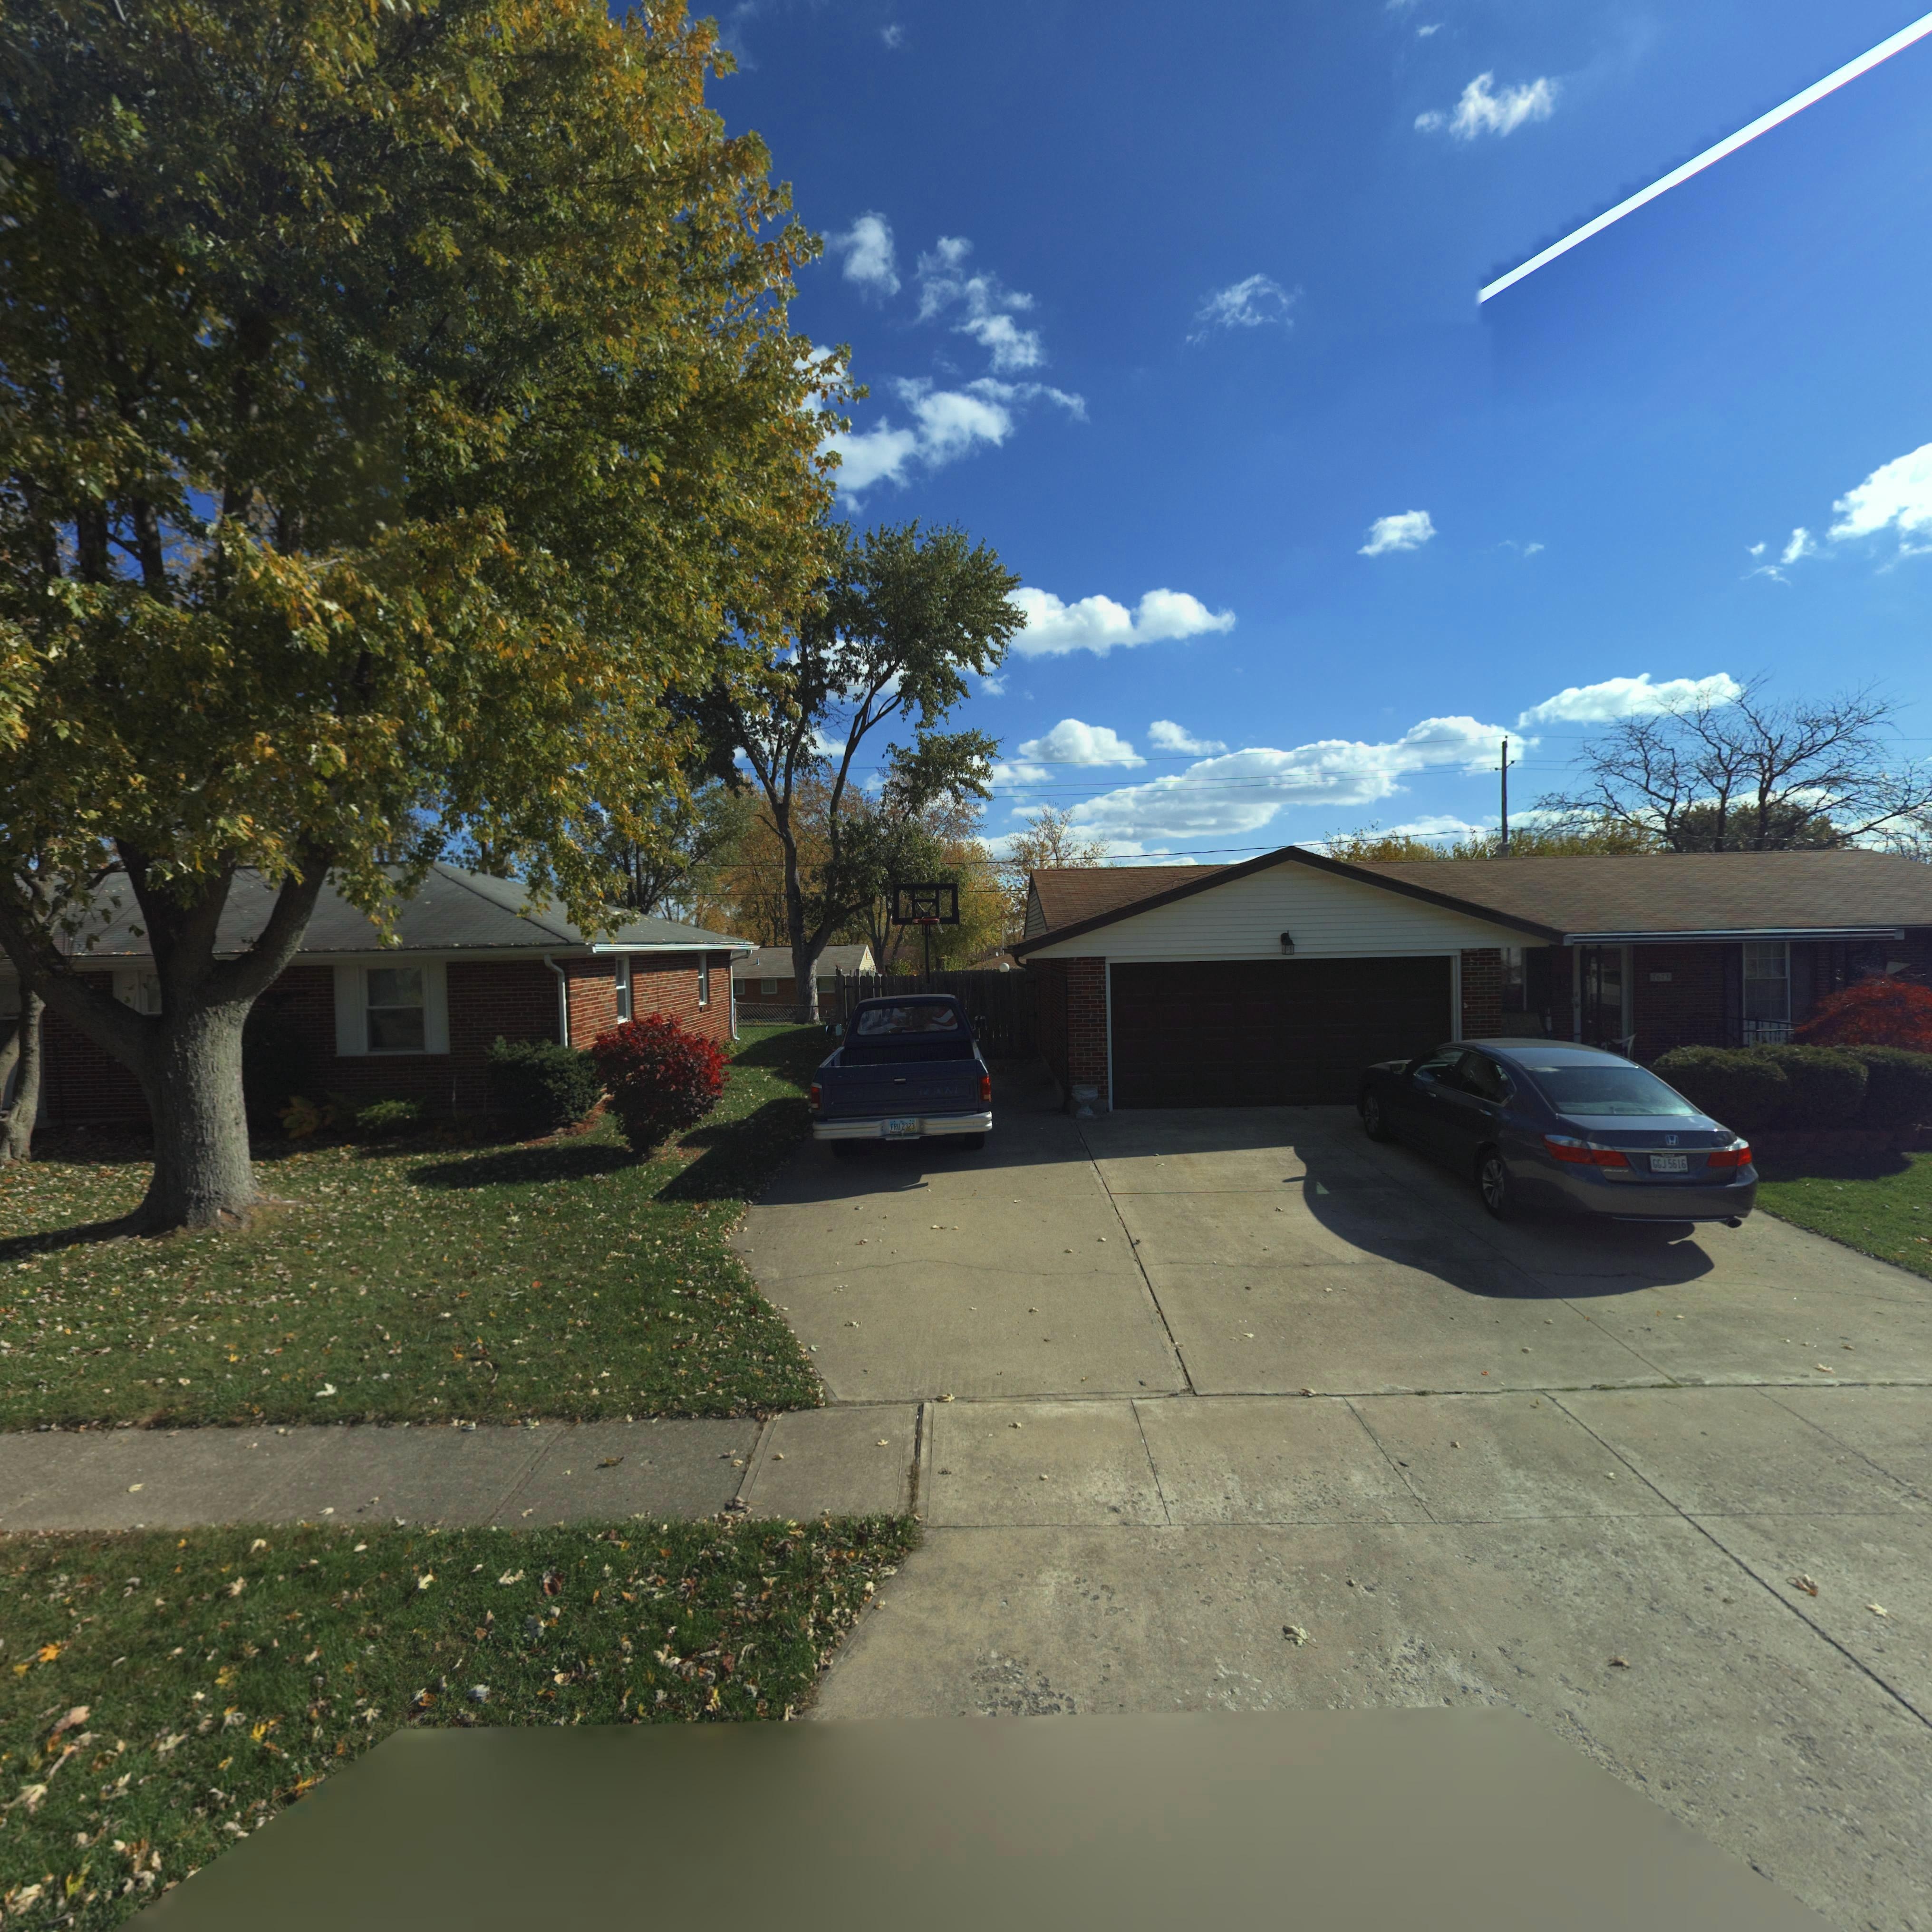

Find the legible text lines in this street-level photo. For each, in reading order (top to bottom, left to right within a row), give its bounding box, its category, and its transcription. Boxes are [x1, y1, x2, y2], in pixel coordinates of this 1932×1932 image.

[1651, 973, 1671, 982] StreetNumber: *67*